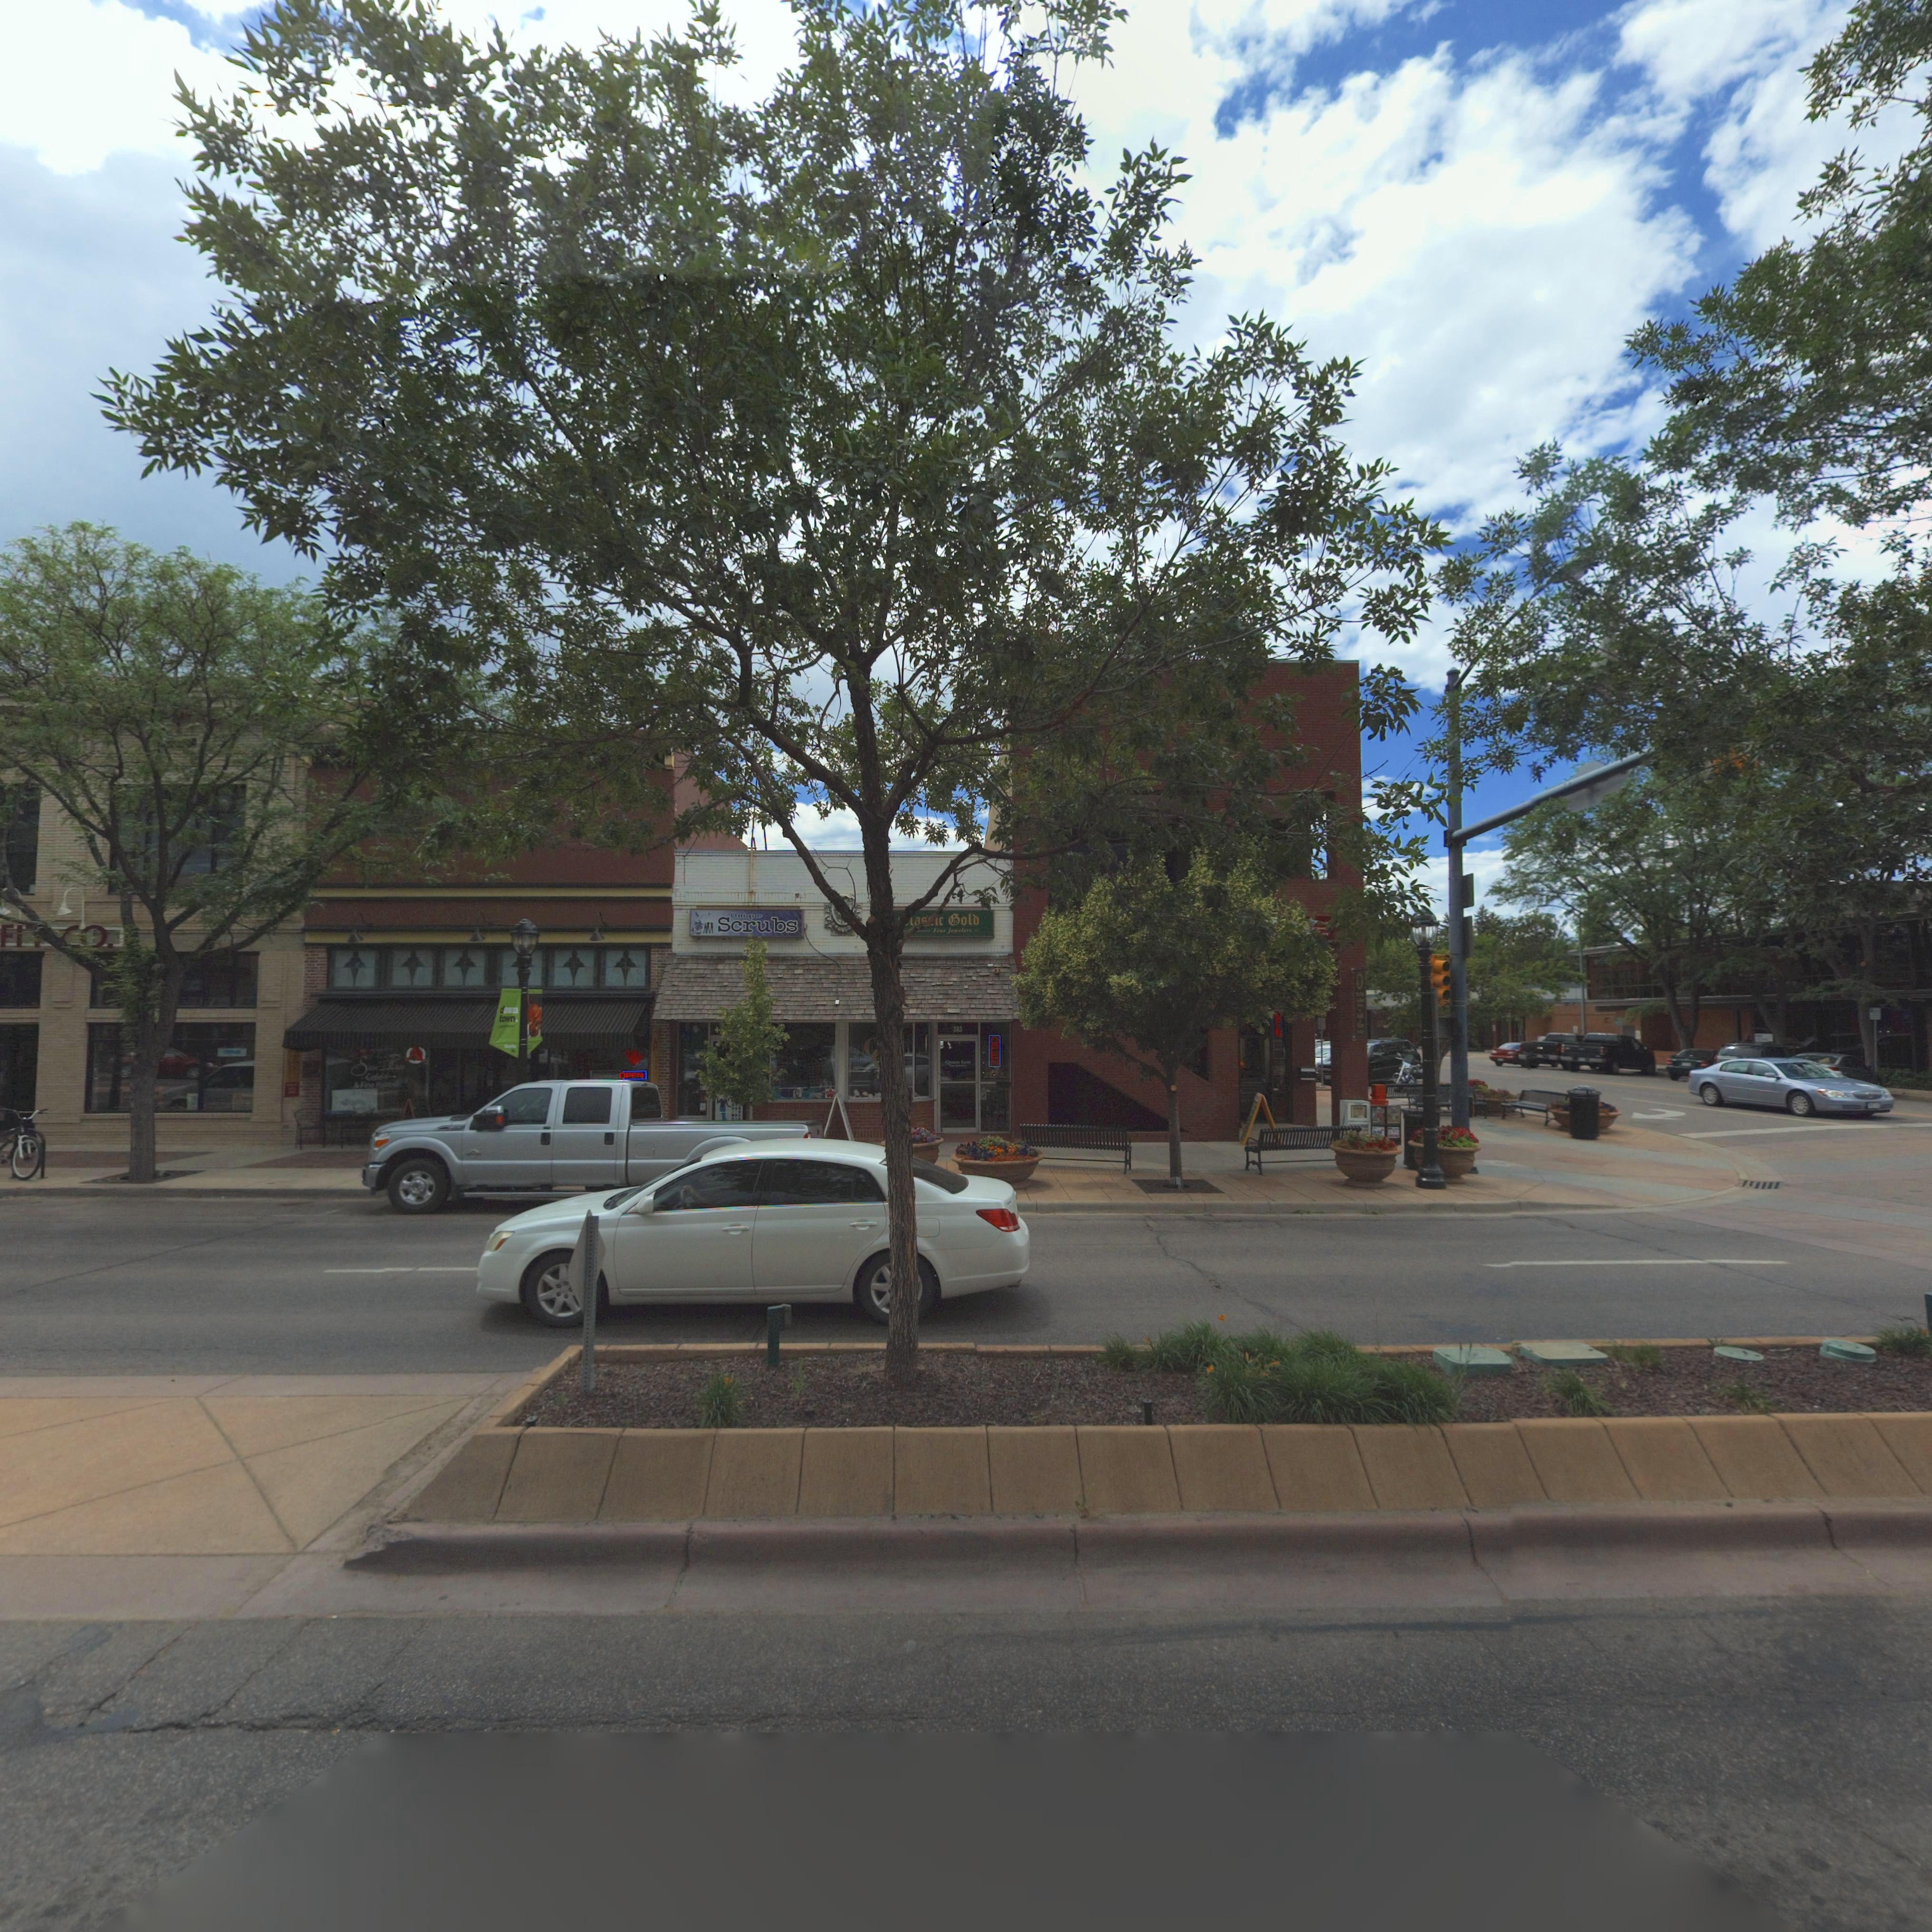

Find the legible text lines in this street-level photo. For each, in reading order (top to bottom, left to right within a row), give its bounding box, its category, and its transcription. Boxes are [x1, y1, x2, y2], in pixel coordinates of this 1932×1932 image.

[730, 912, 763, 919] BusinessName: Unique
[717, 916, 799, 934] BusinessName: Scrubs
[898, 912, 980, 927] BusinessName: *las**c Gold
[3, 923, 115, 949] BusinessName: ****** **** FI* CO.
[953, 1025, 963, 1033] StreetNumber: 383
[349, 1053, 405, 1077] BusinessName: S** R***
[945, 1059, 970, 1064] BusinessName: Cl***** Gold
[364, 1072, 384, 1081] BusinessName: C***